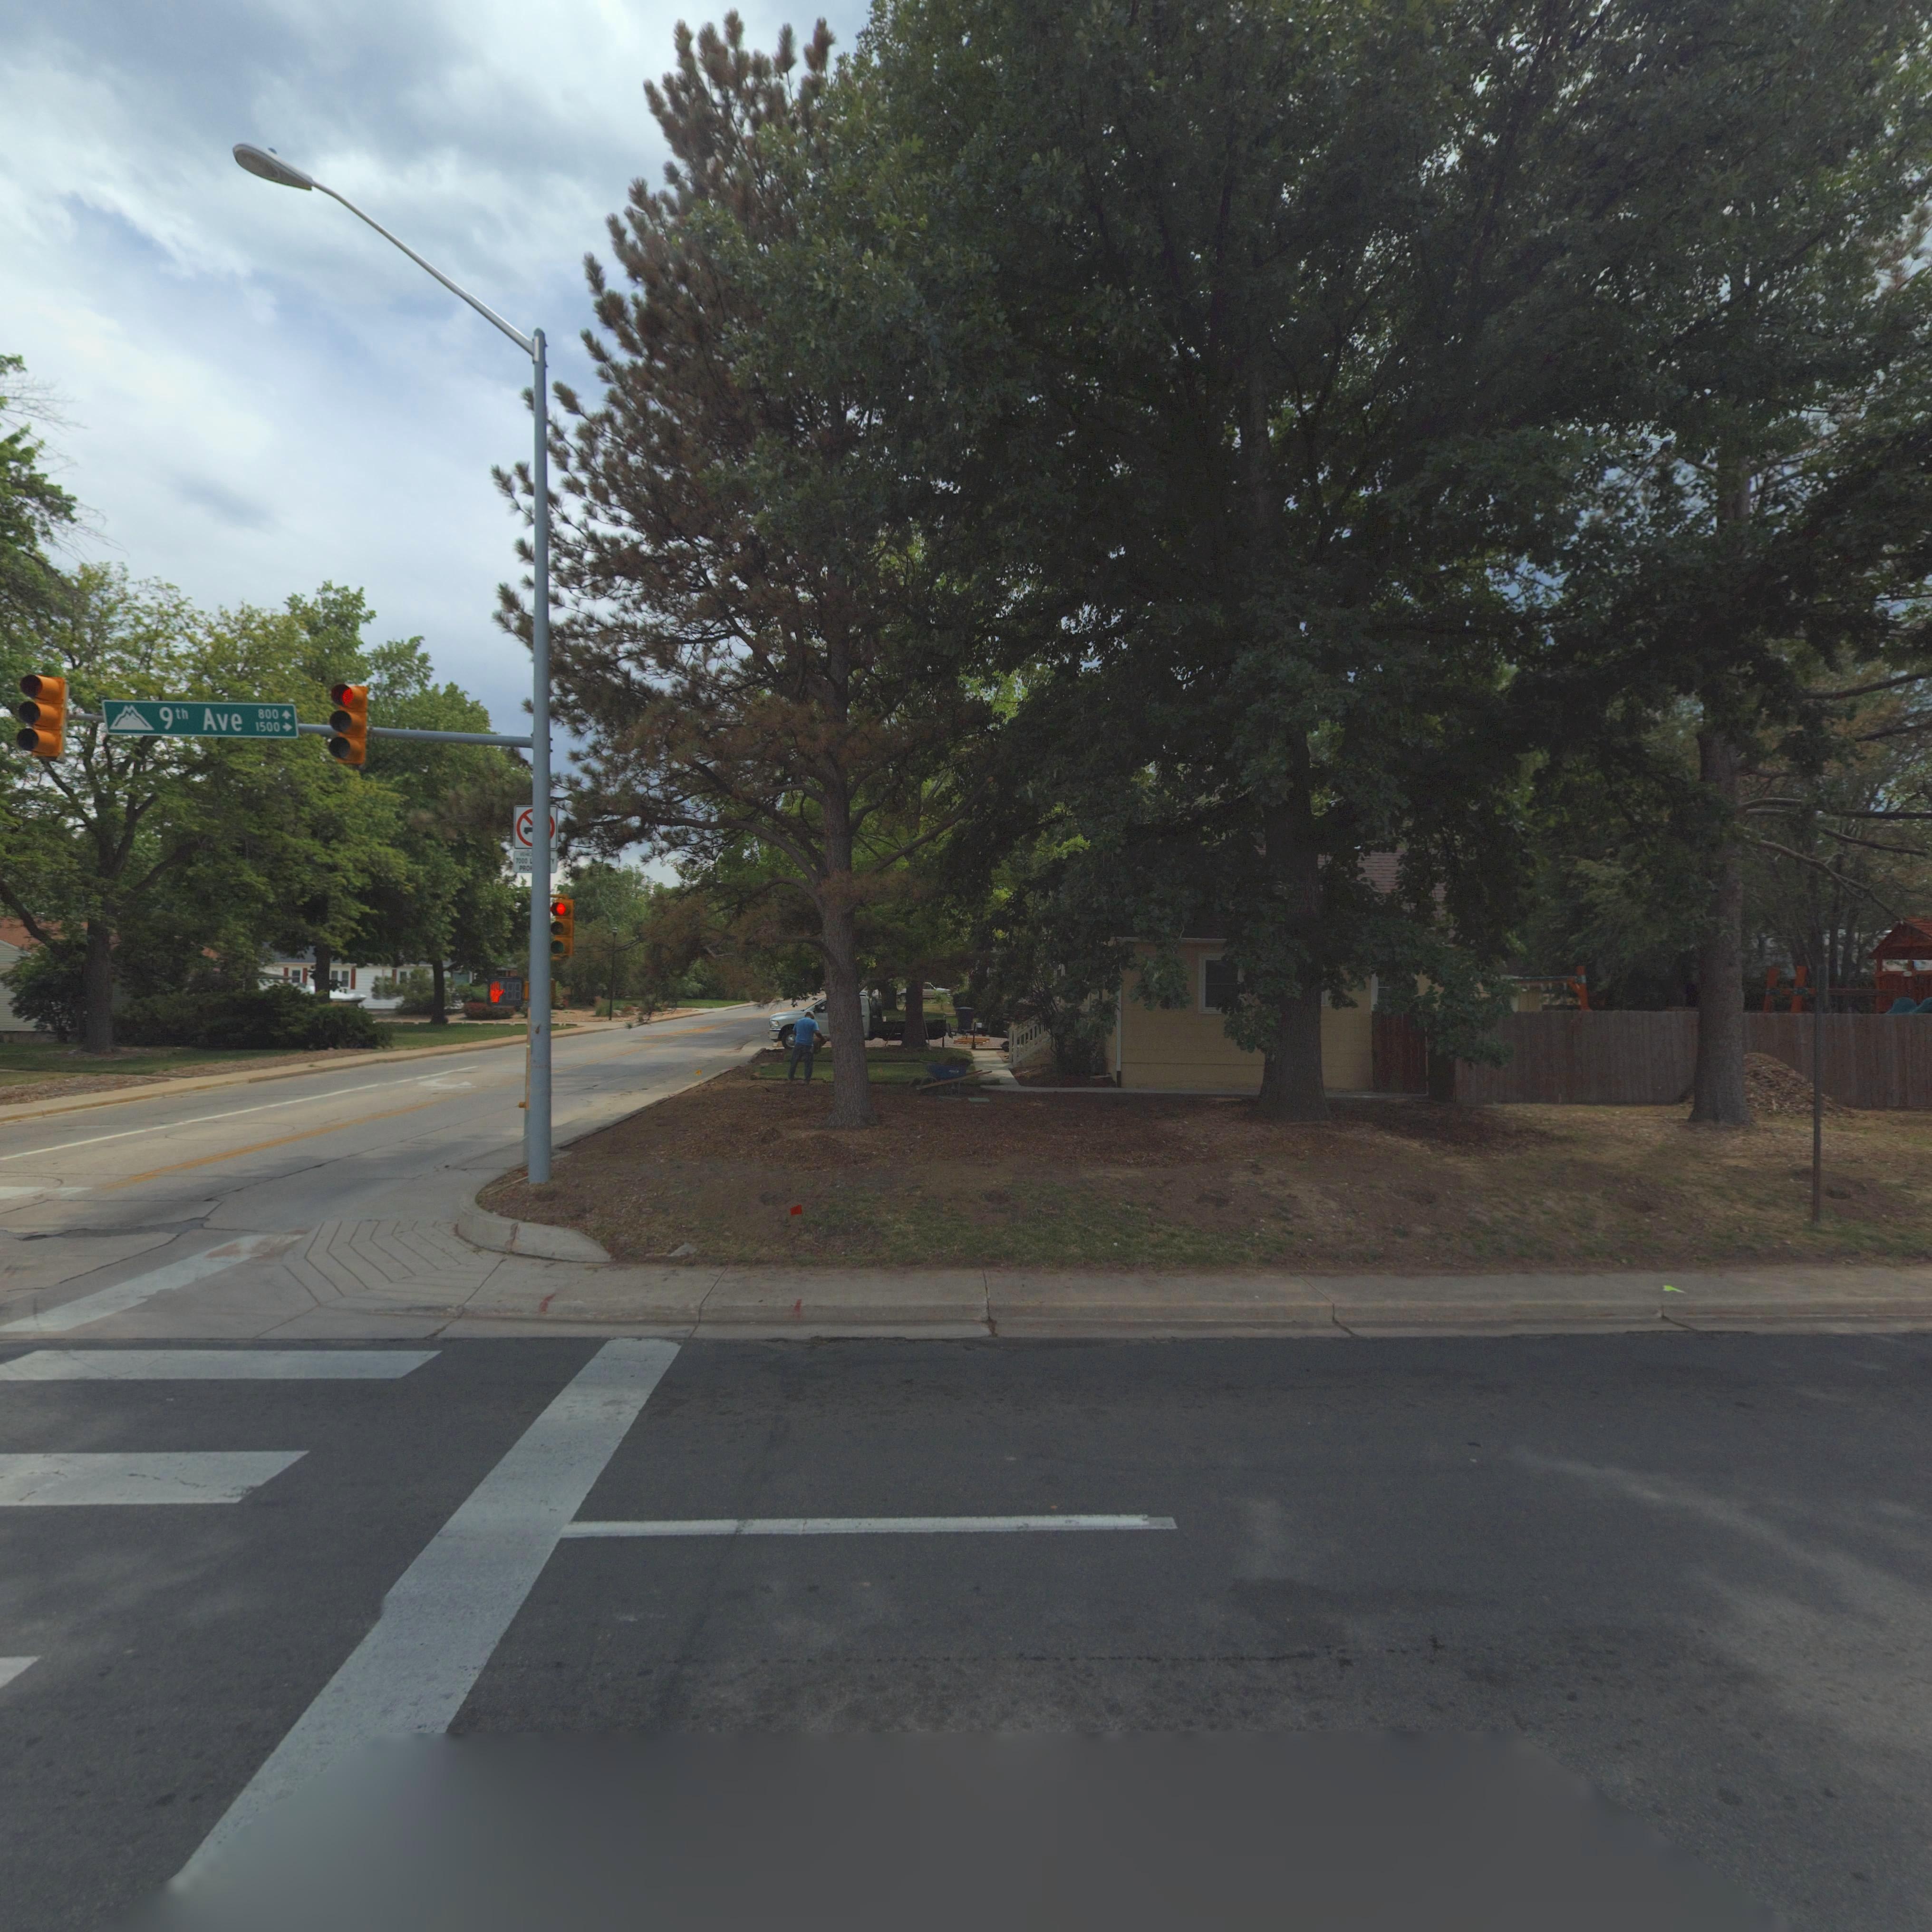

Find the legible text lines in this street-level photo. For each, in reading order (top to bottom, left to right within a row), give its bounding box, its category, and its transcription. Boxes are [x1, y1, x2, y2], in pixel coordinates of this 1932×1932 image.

[158, 706, 242, 732] StreetNumberRange: 9th Ave
[257, 708, 279, 719] StreetNumberRange: 800
[255, 721, 293, 732] StreetNumberRange: 1500->